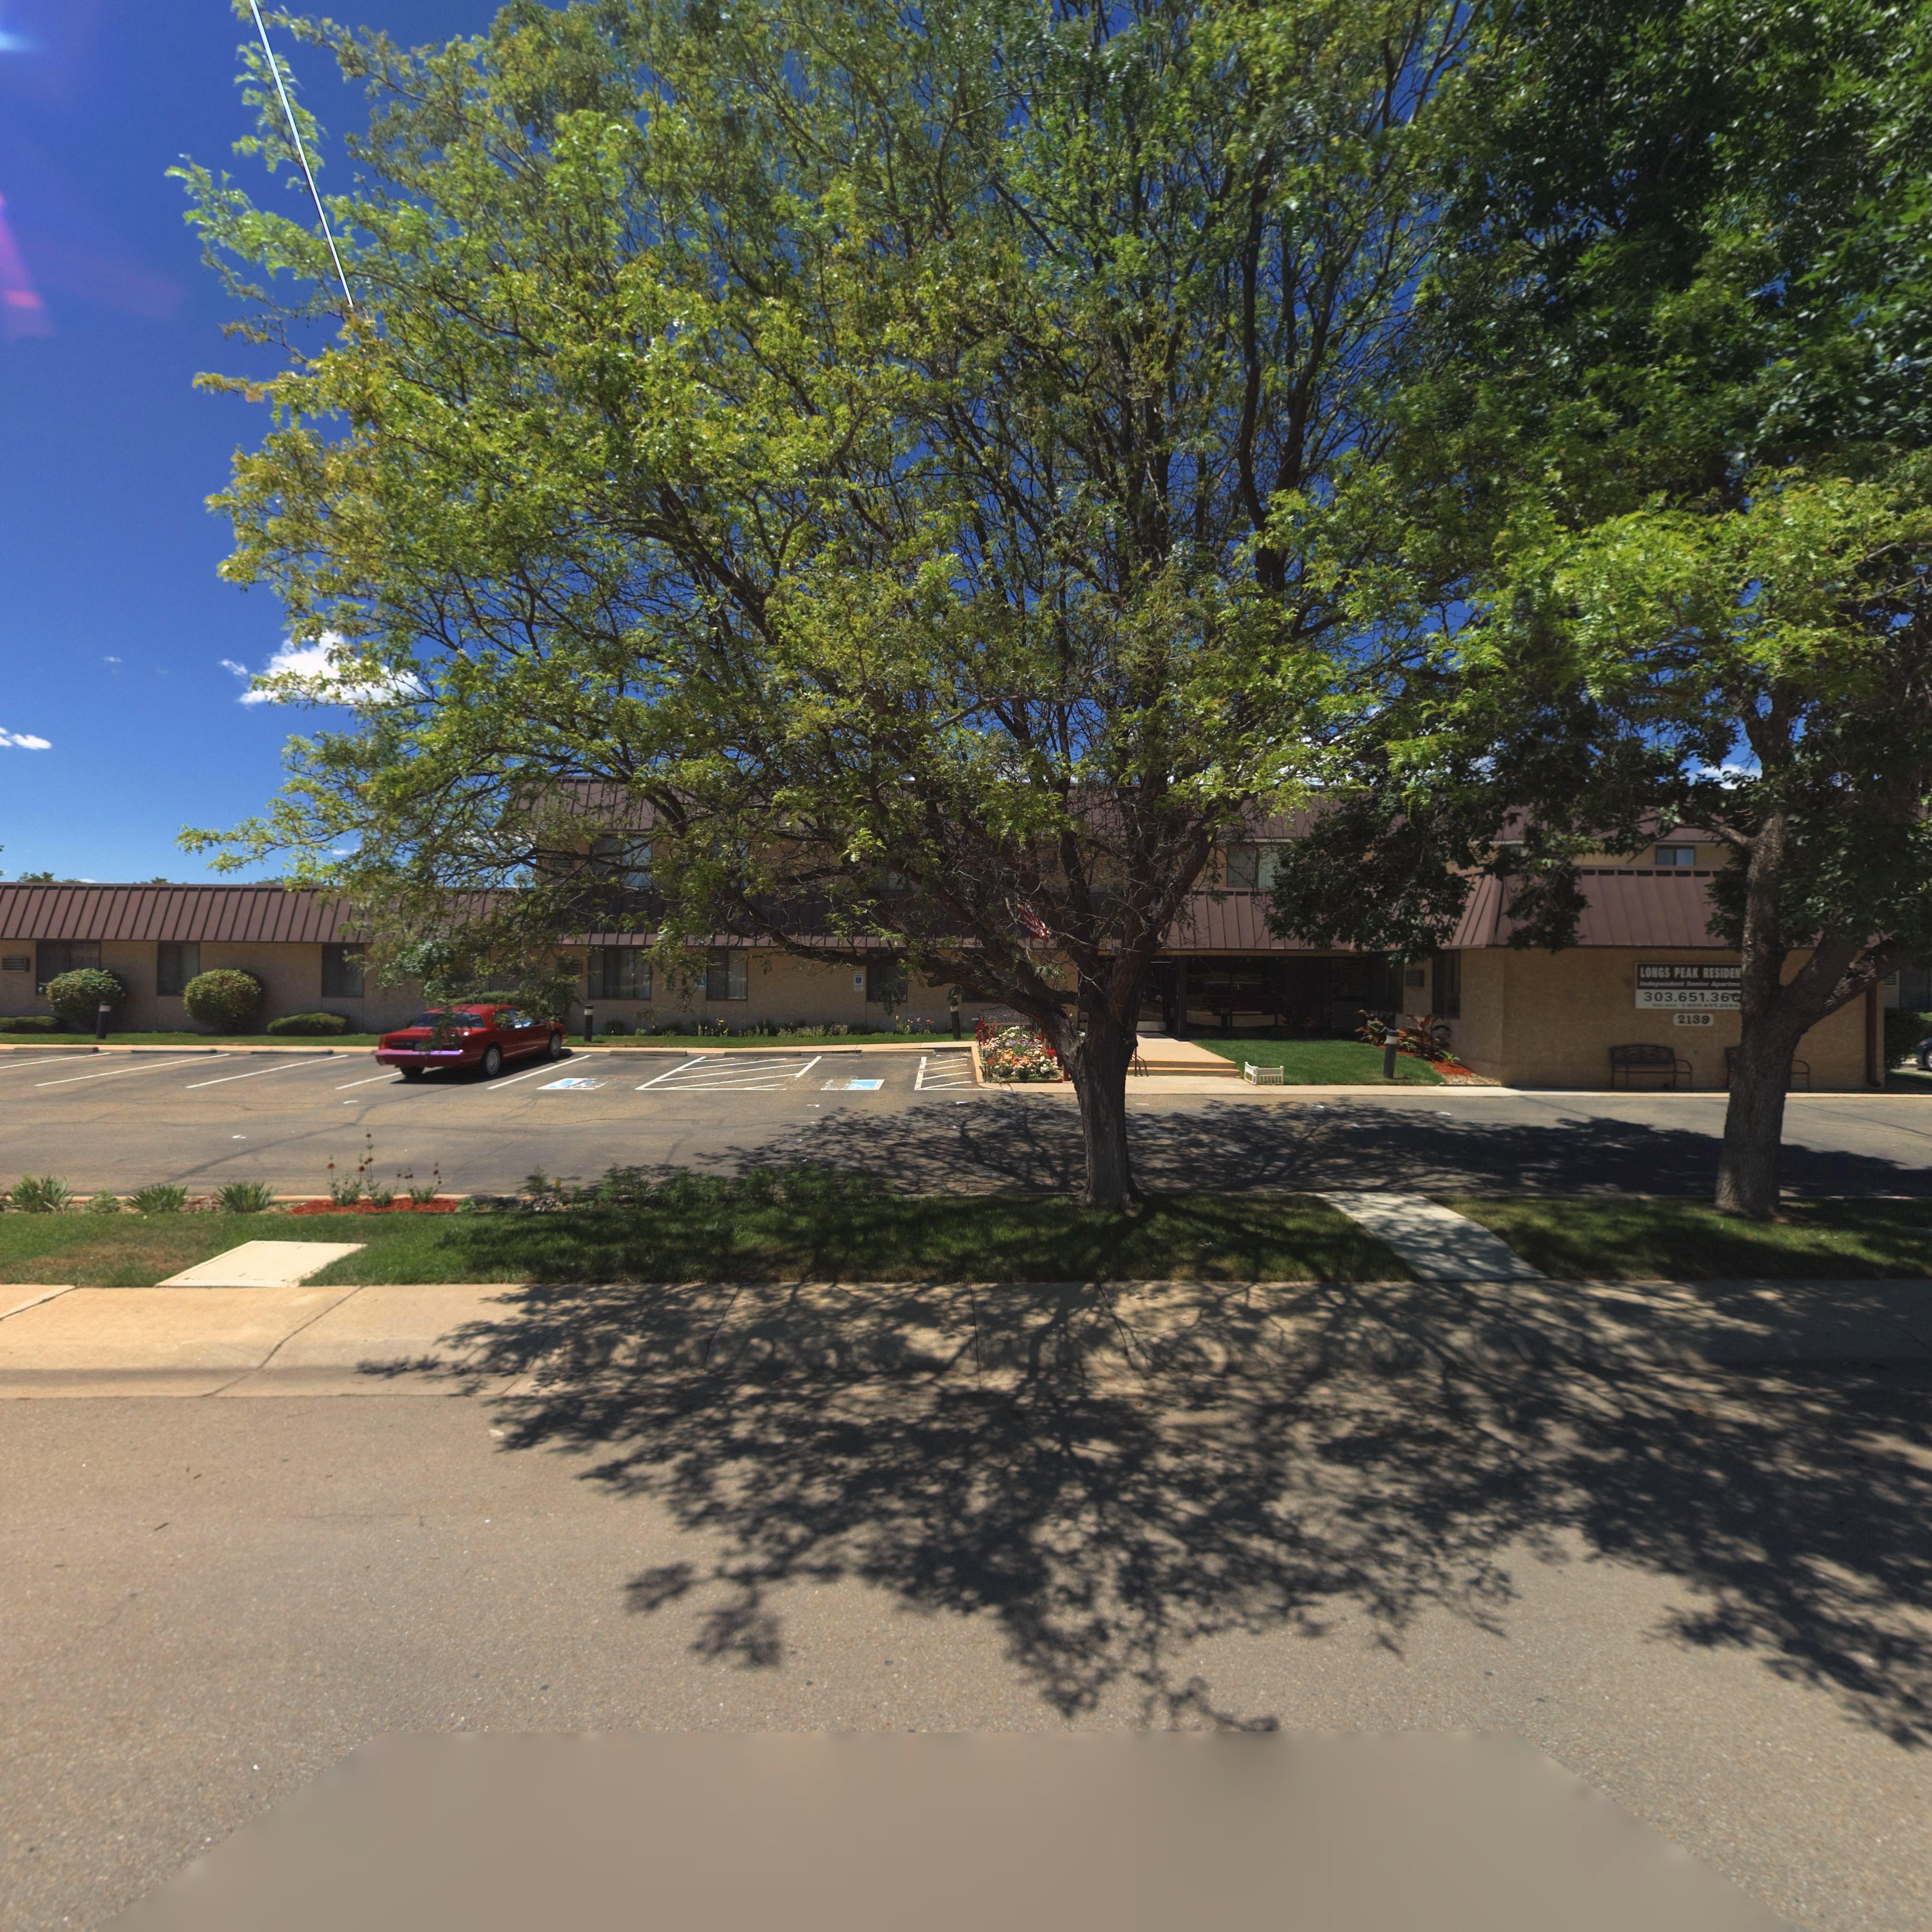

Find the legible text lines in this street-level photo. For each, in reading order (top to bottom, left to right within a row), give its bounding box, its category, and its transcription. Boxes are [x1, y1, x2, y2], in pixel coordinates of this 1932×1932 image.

[1639, 966, 1742, 978] BusinessName: LONGS PEAK RESIDEN
[1677, 1014, 1711, 1024] StreetNumber: 2139